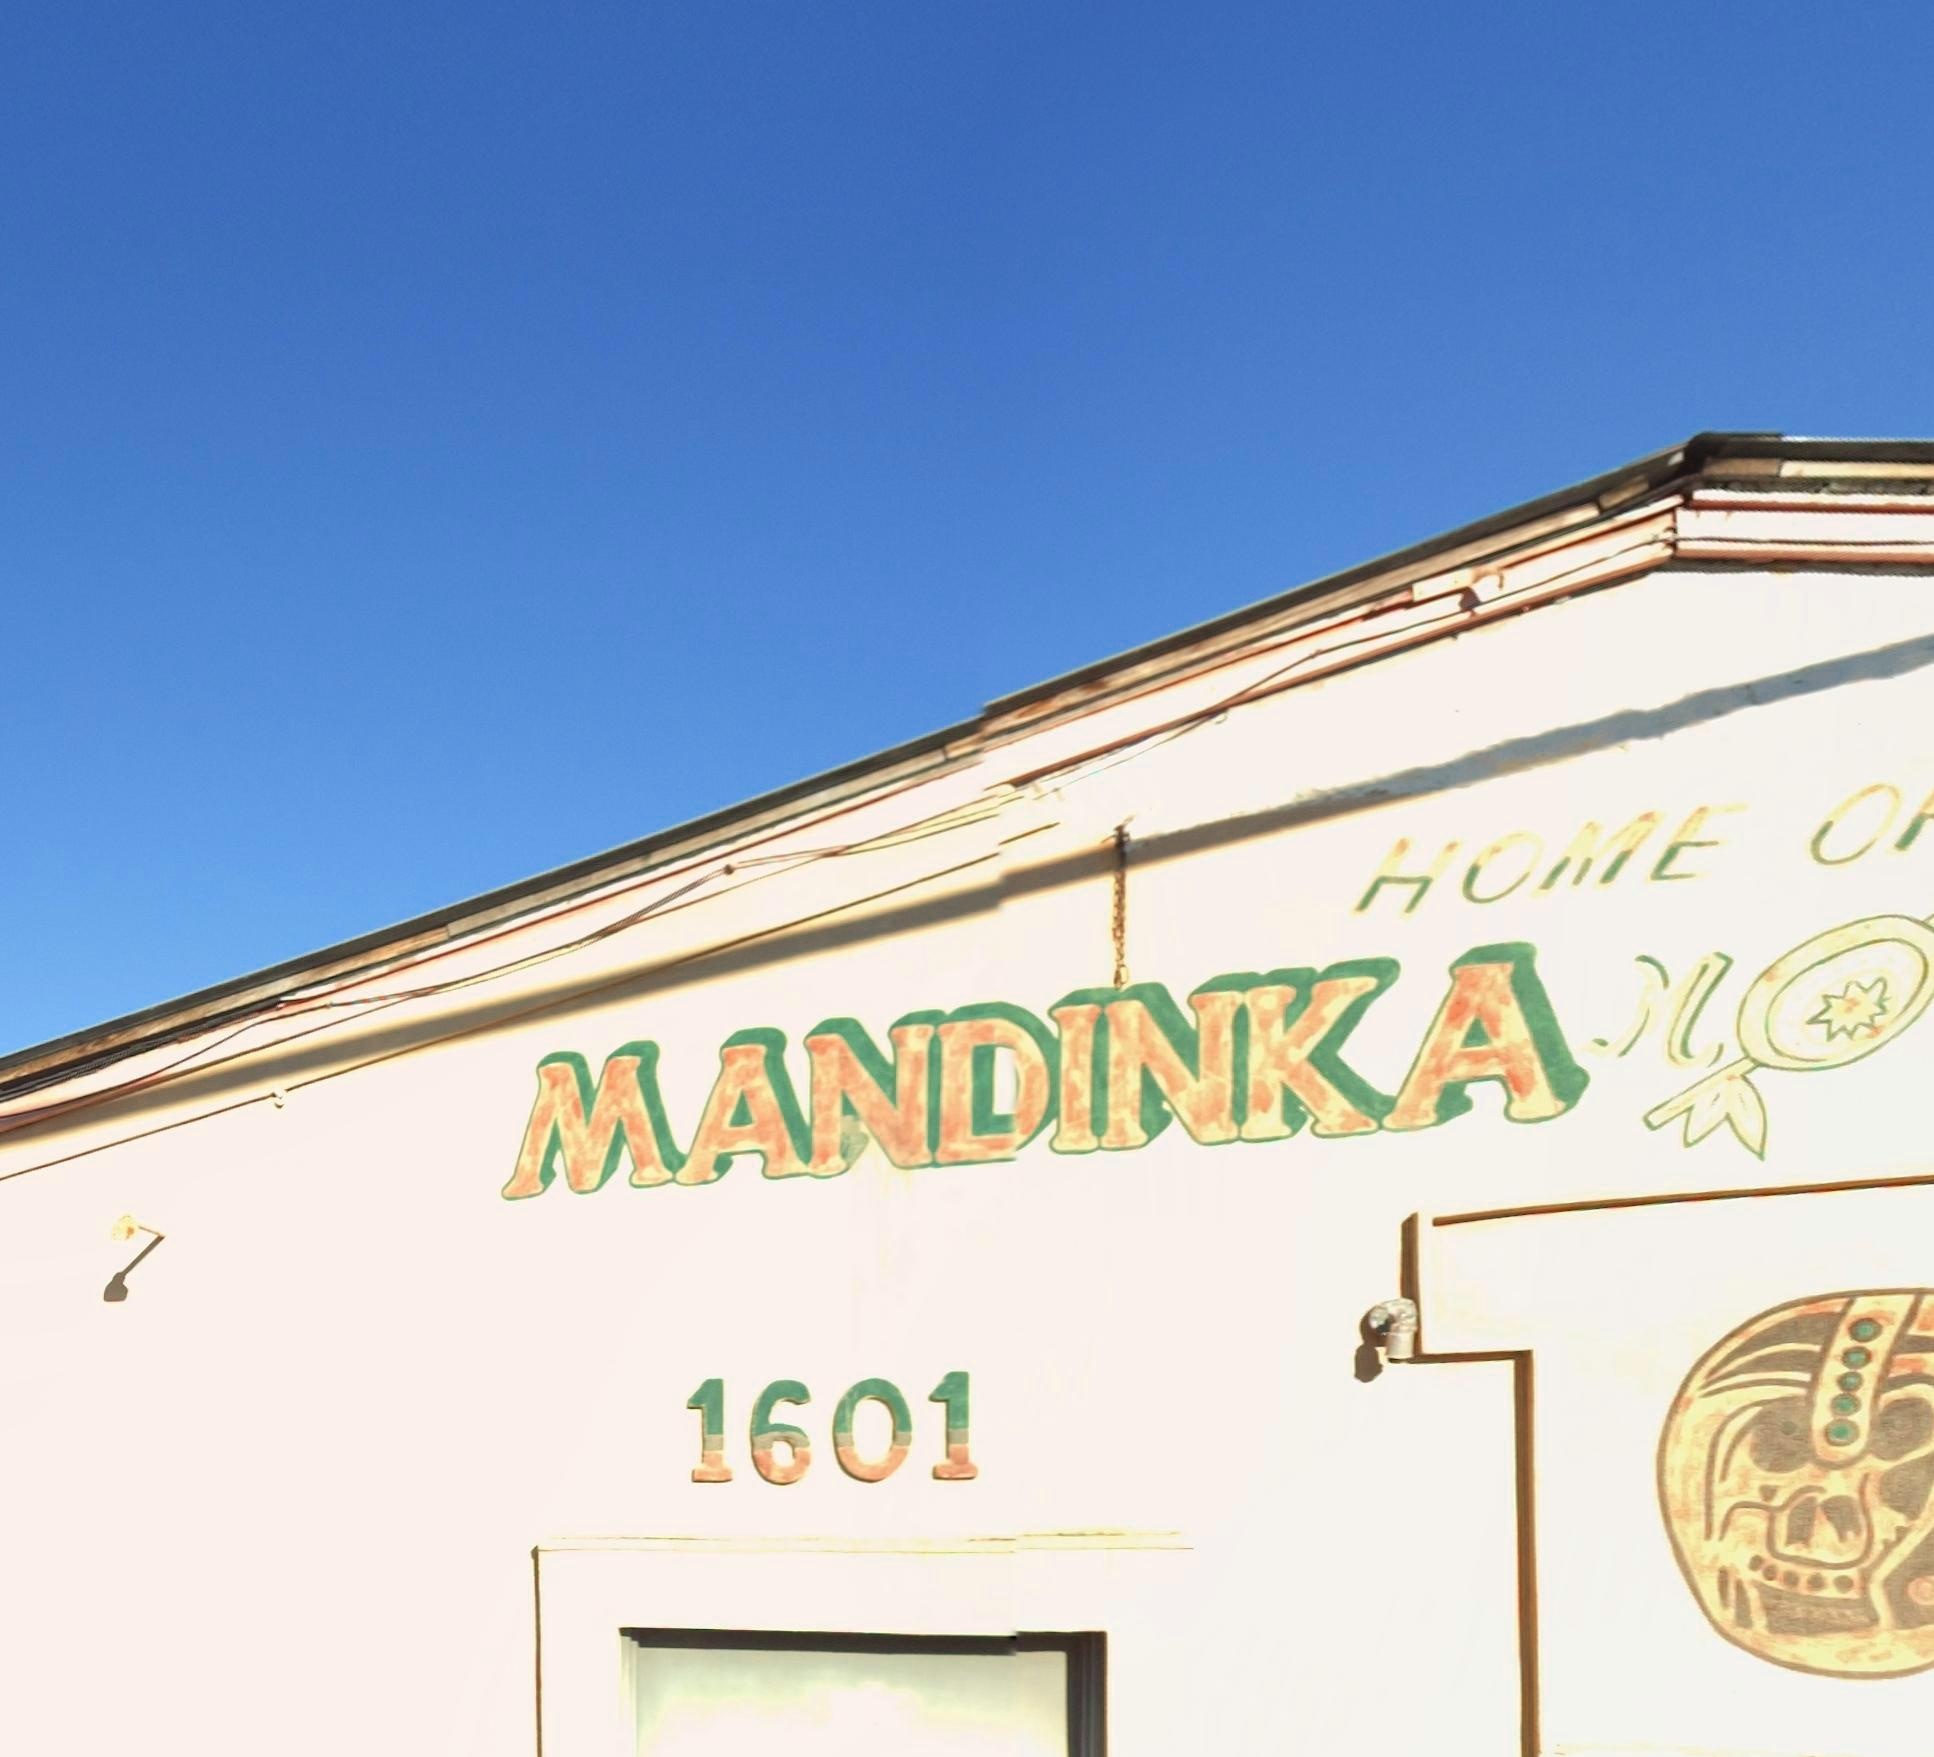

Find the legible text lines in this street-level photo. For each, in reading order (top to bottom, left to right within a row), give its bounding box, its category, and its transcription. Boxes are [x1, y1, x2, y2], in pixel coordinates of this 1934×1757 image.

[1342, 772, 1924, 924] None: HOME O
[498, 935, 1595, 1204] None: MANDINKA
[684, 1366, 985, 1487] StreetNumber: 1601